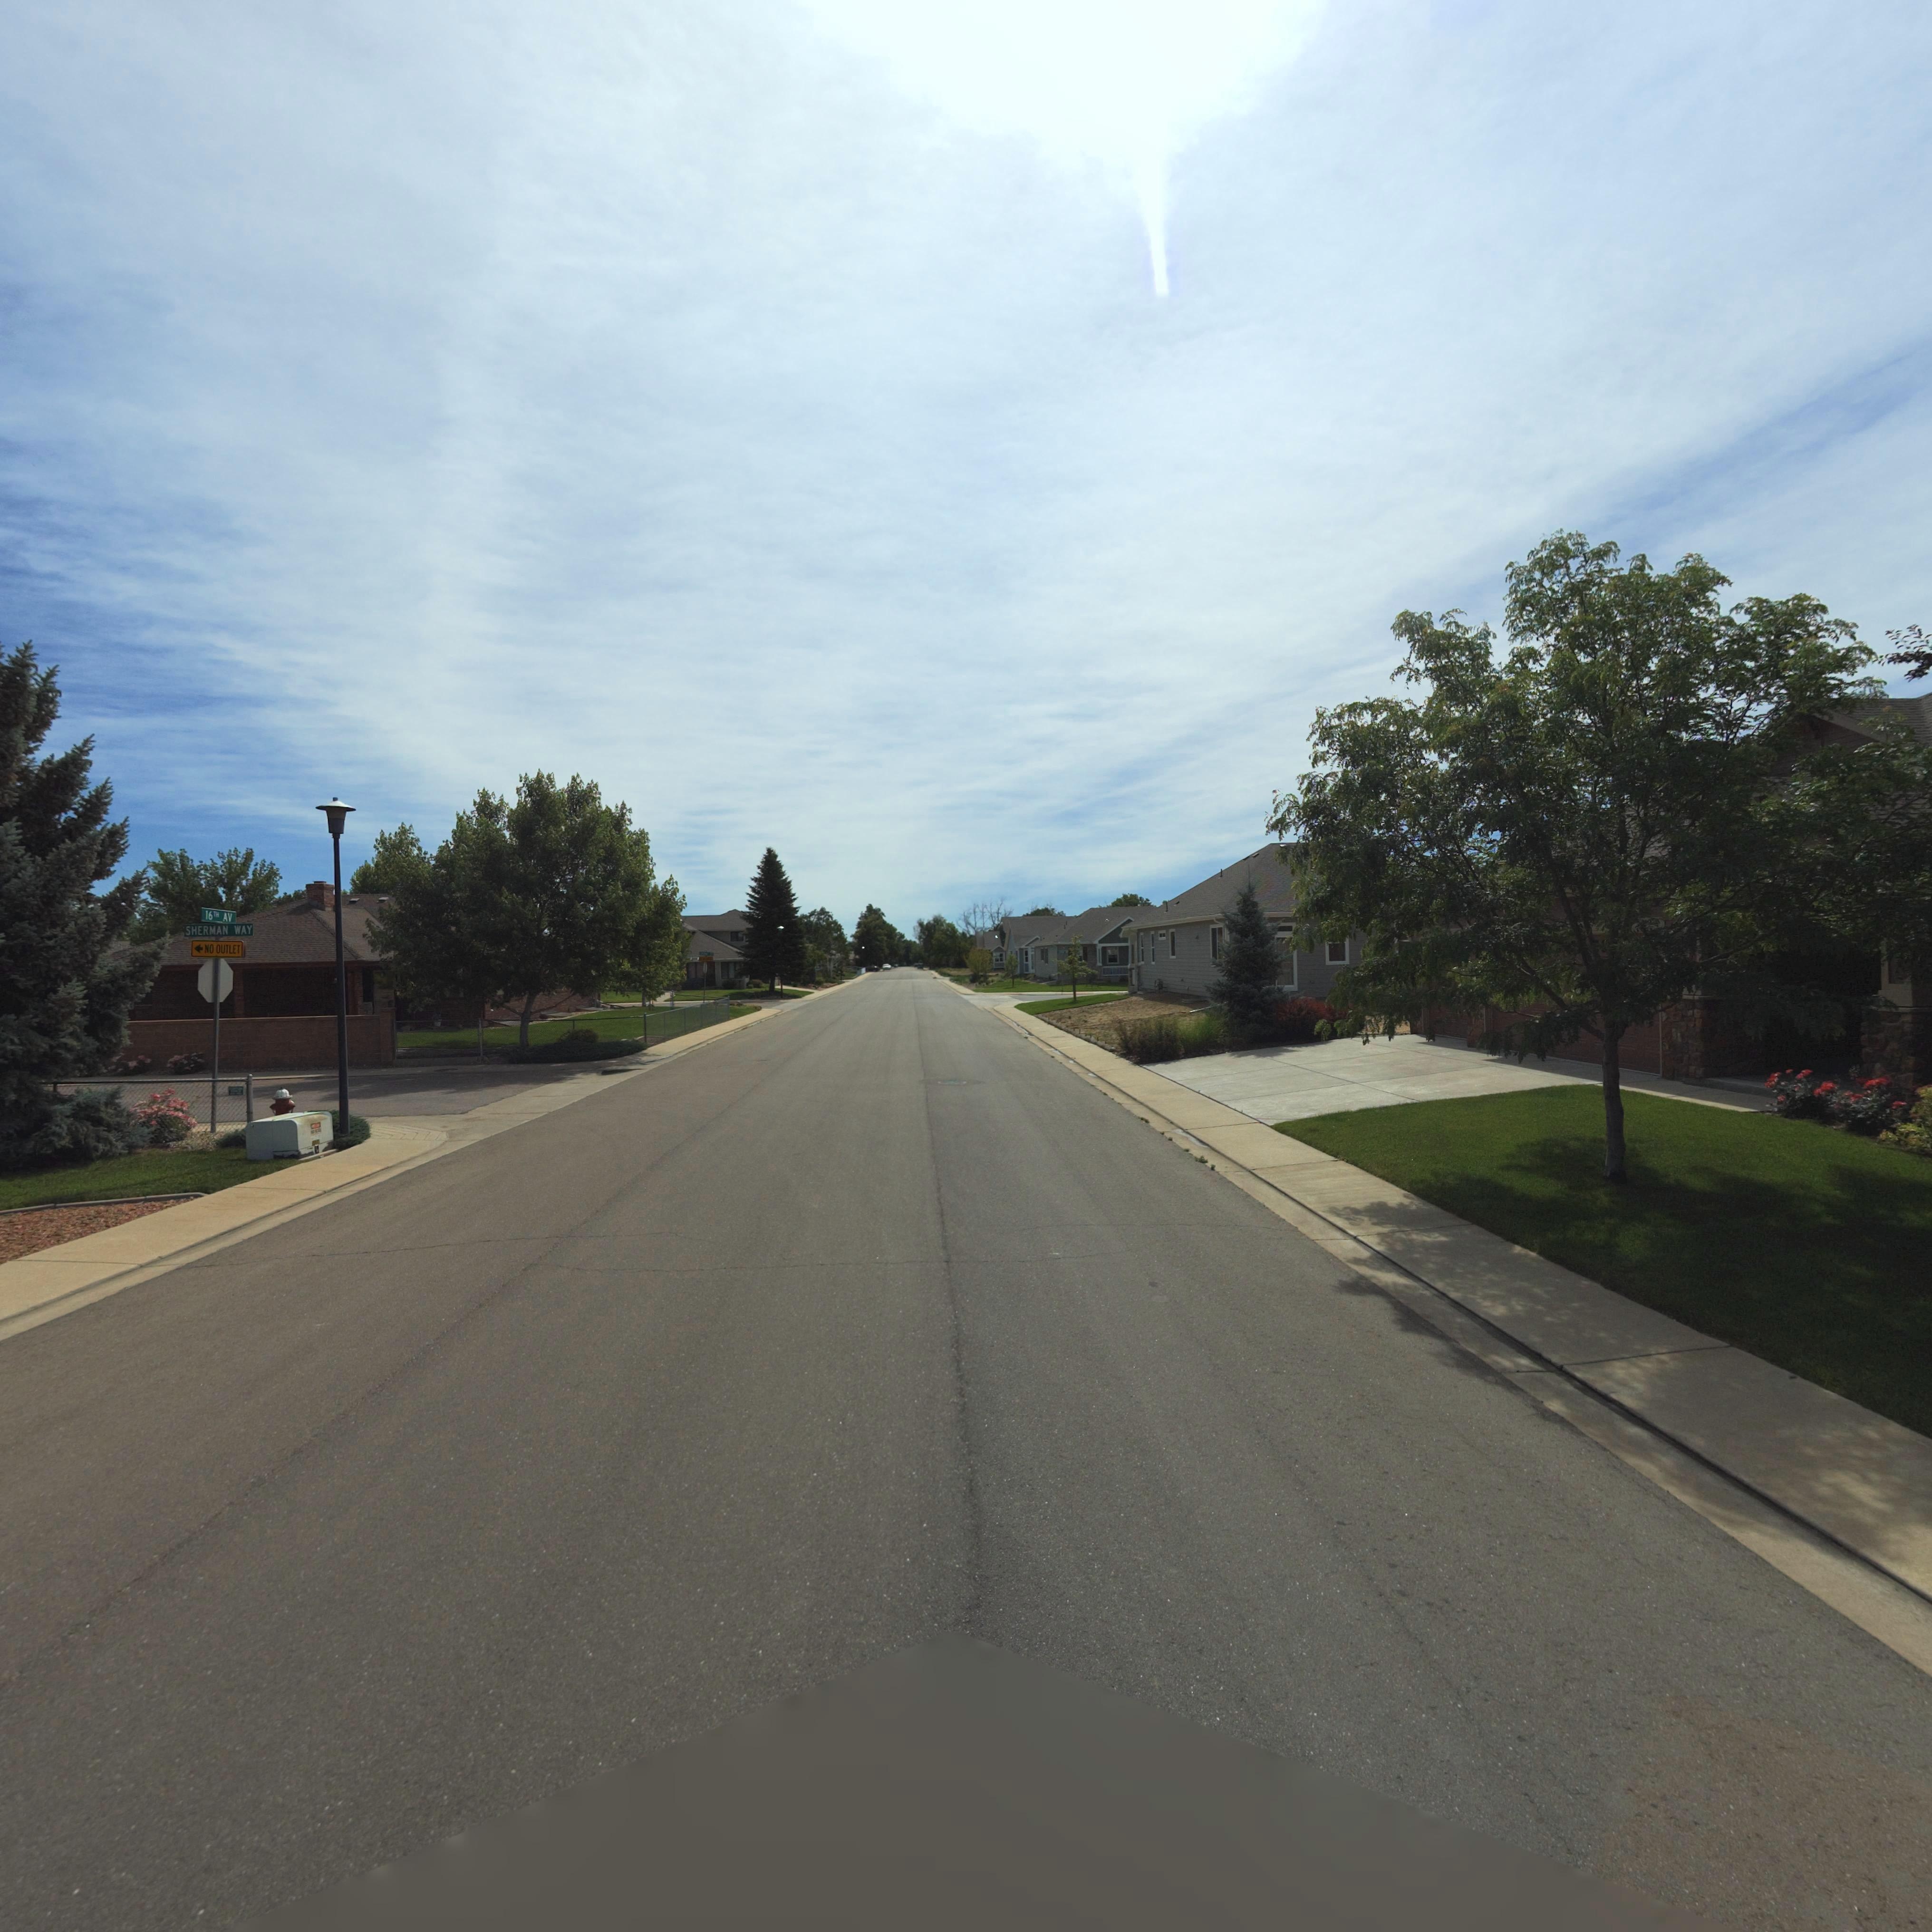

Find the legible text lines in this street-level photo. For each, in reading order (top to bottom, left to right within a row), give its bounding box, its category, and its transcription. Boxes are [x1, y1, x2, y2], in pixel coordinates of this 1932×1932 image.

[205, 909, 233, 923] StreetName: 16TH AV
[185, 925, 252, 936] StreetName: SHERMAN WAY